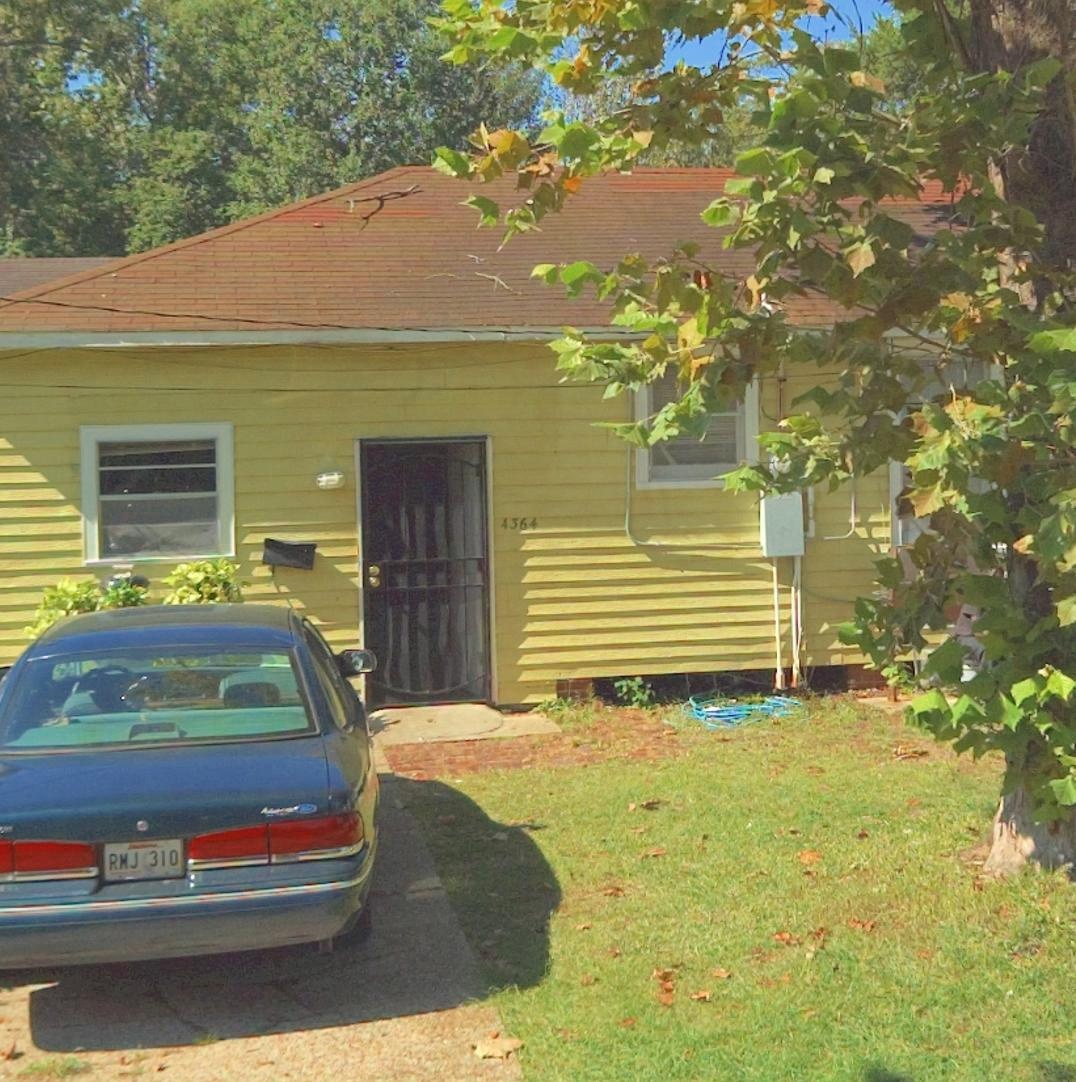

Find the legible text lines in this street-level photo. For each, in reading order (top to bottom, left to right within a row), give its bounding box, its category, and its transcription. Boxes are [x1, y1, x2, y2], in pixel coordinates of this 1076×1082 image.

[500, 516, 538, 531] StreetNumber: 4364
[108, 849, 179, 872] None: RMJ*310